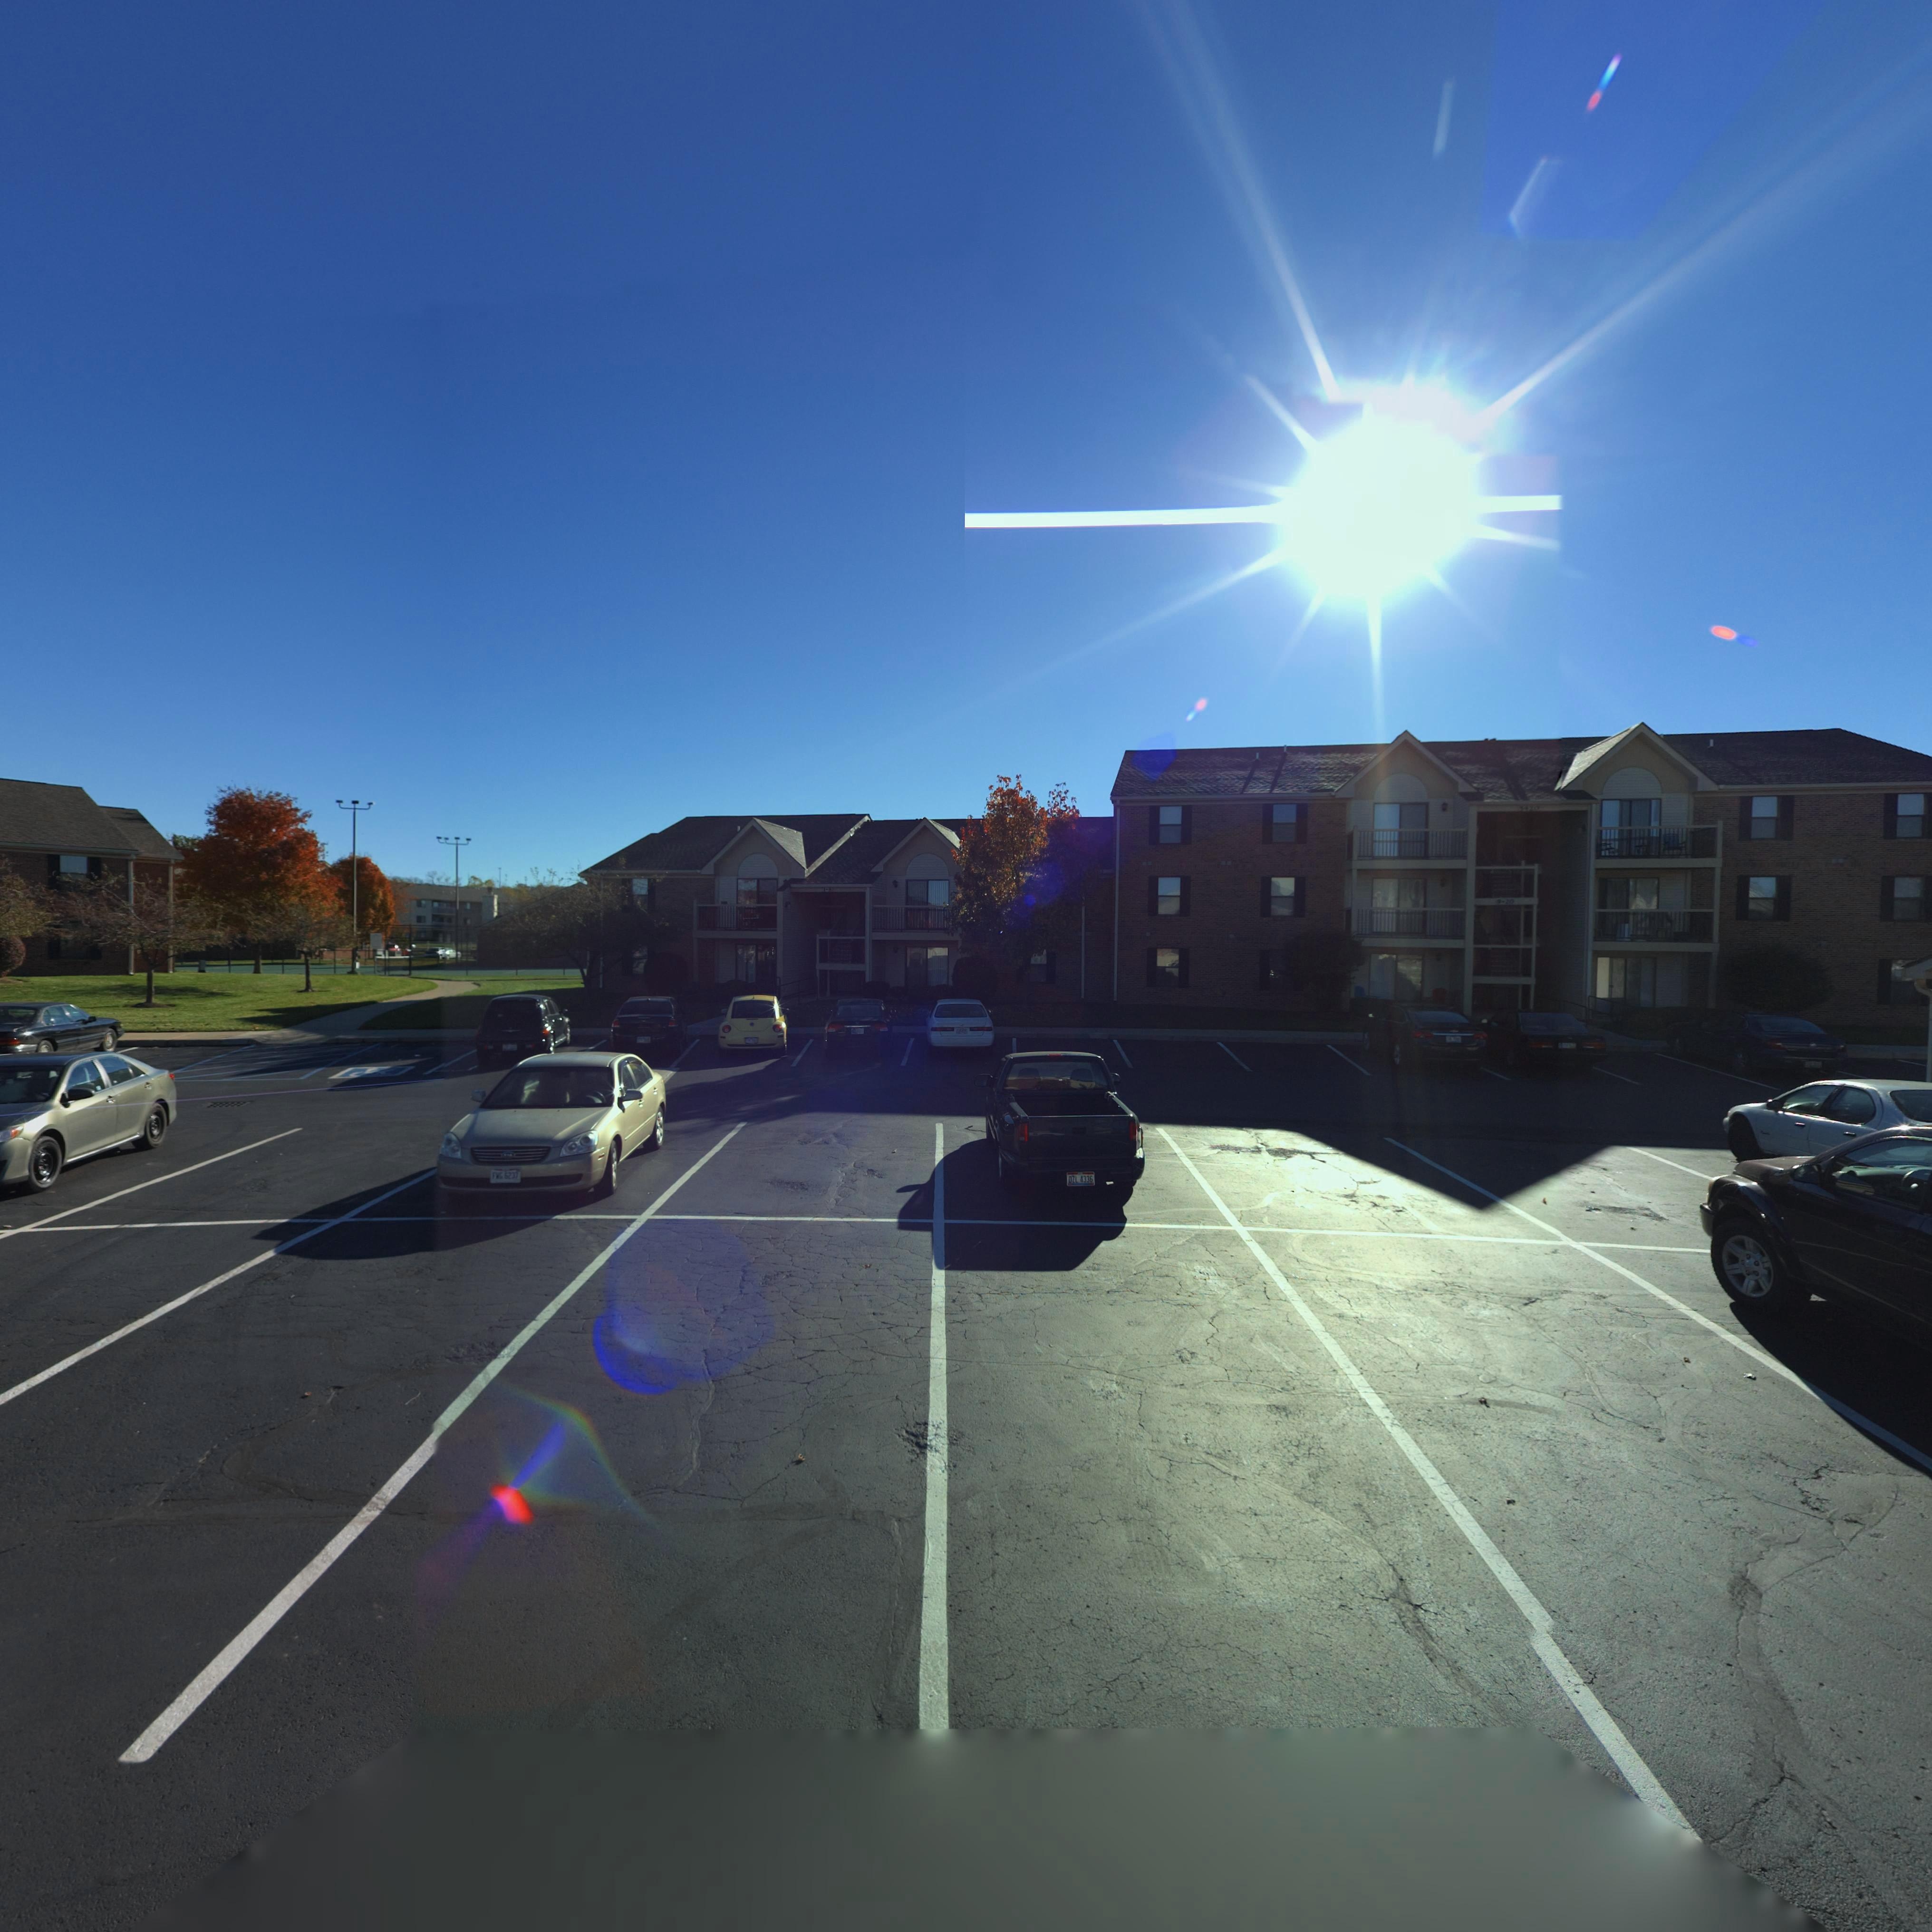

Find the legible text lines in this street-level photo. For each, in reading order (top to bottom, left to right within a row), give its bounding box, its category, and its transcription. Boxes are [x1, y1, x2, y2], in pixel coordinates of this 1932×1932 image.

[1518, 804, 1539, 811] StreetNumber: 5420
[822, 887, 832, 892] StreetNumber: 1-8
[1496, 898, 1514, 905] StreetNumber: 9-20